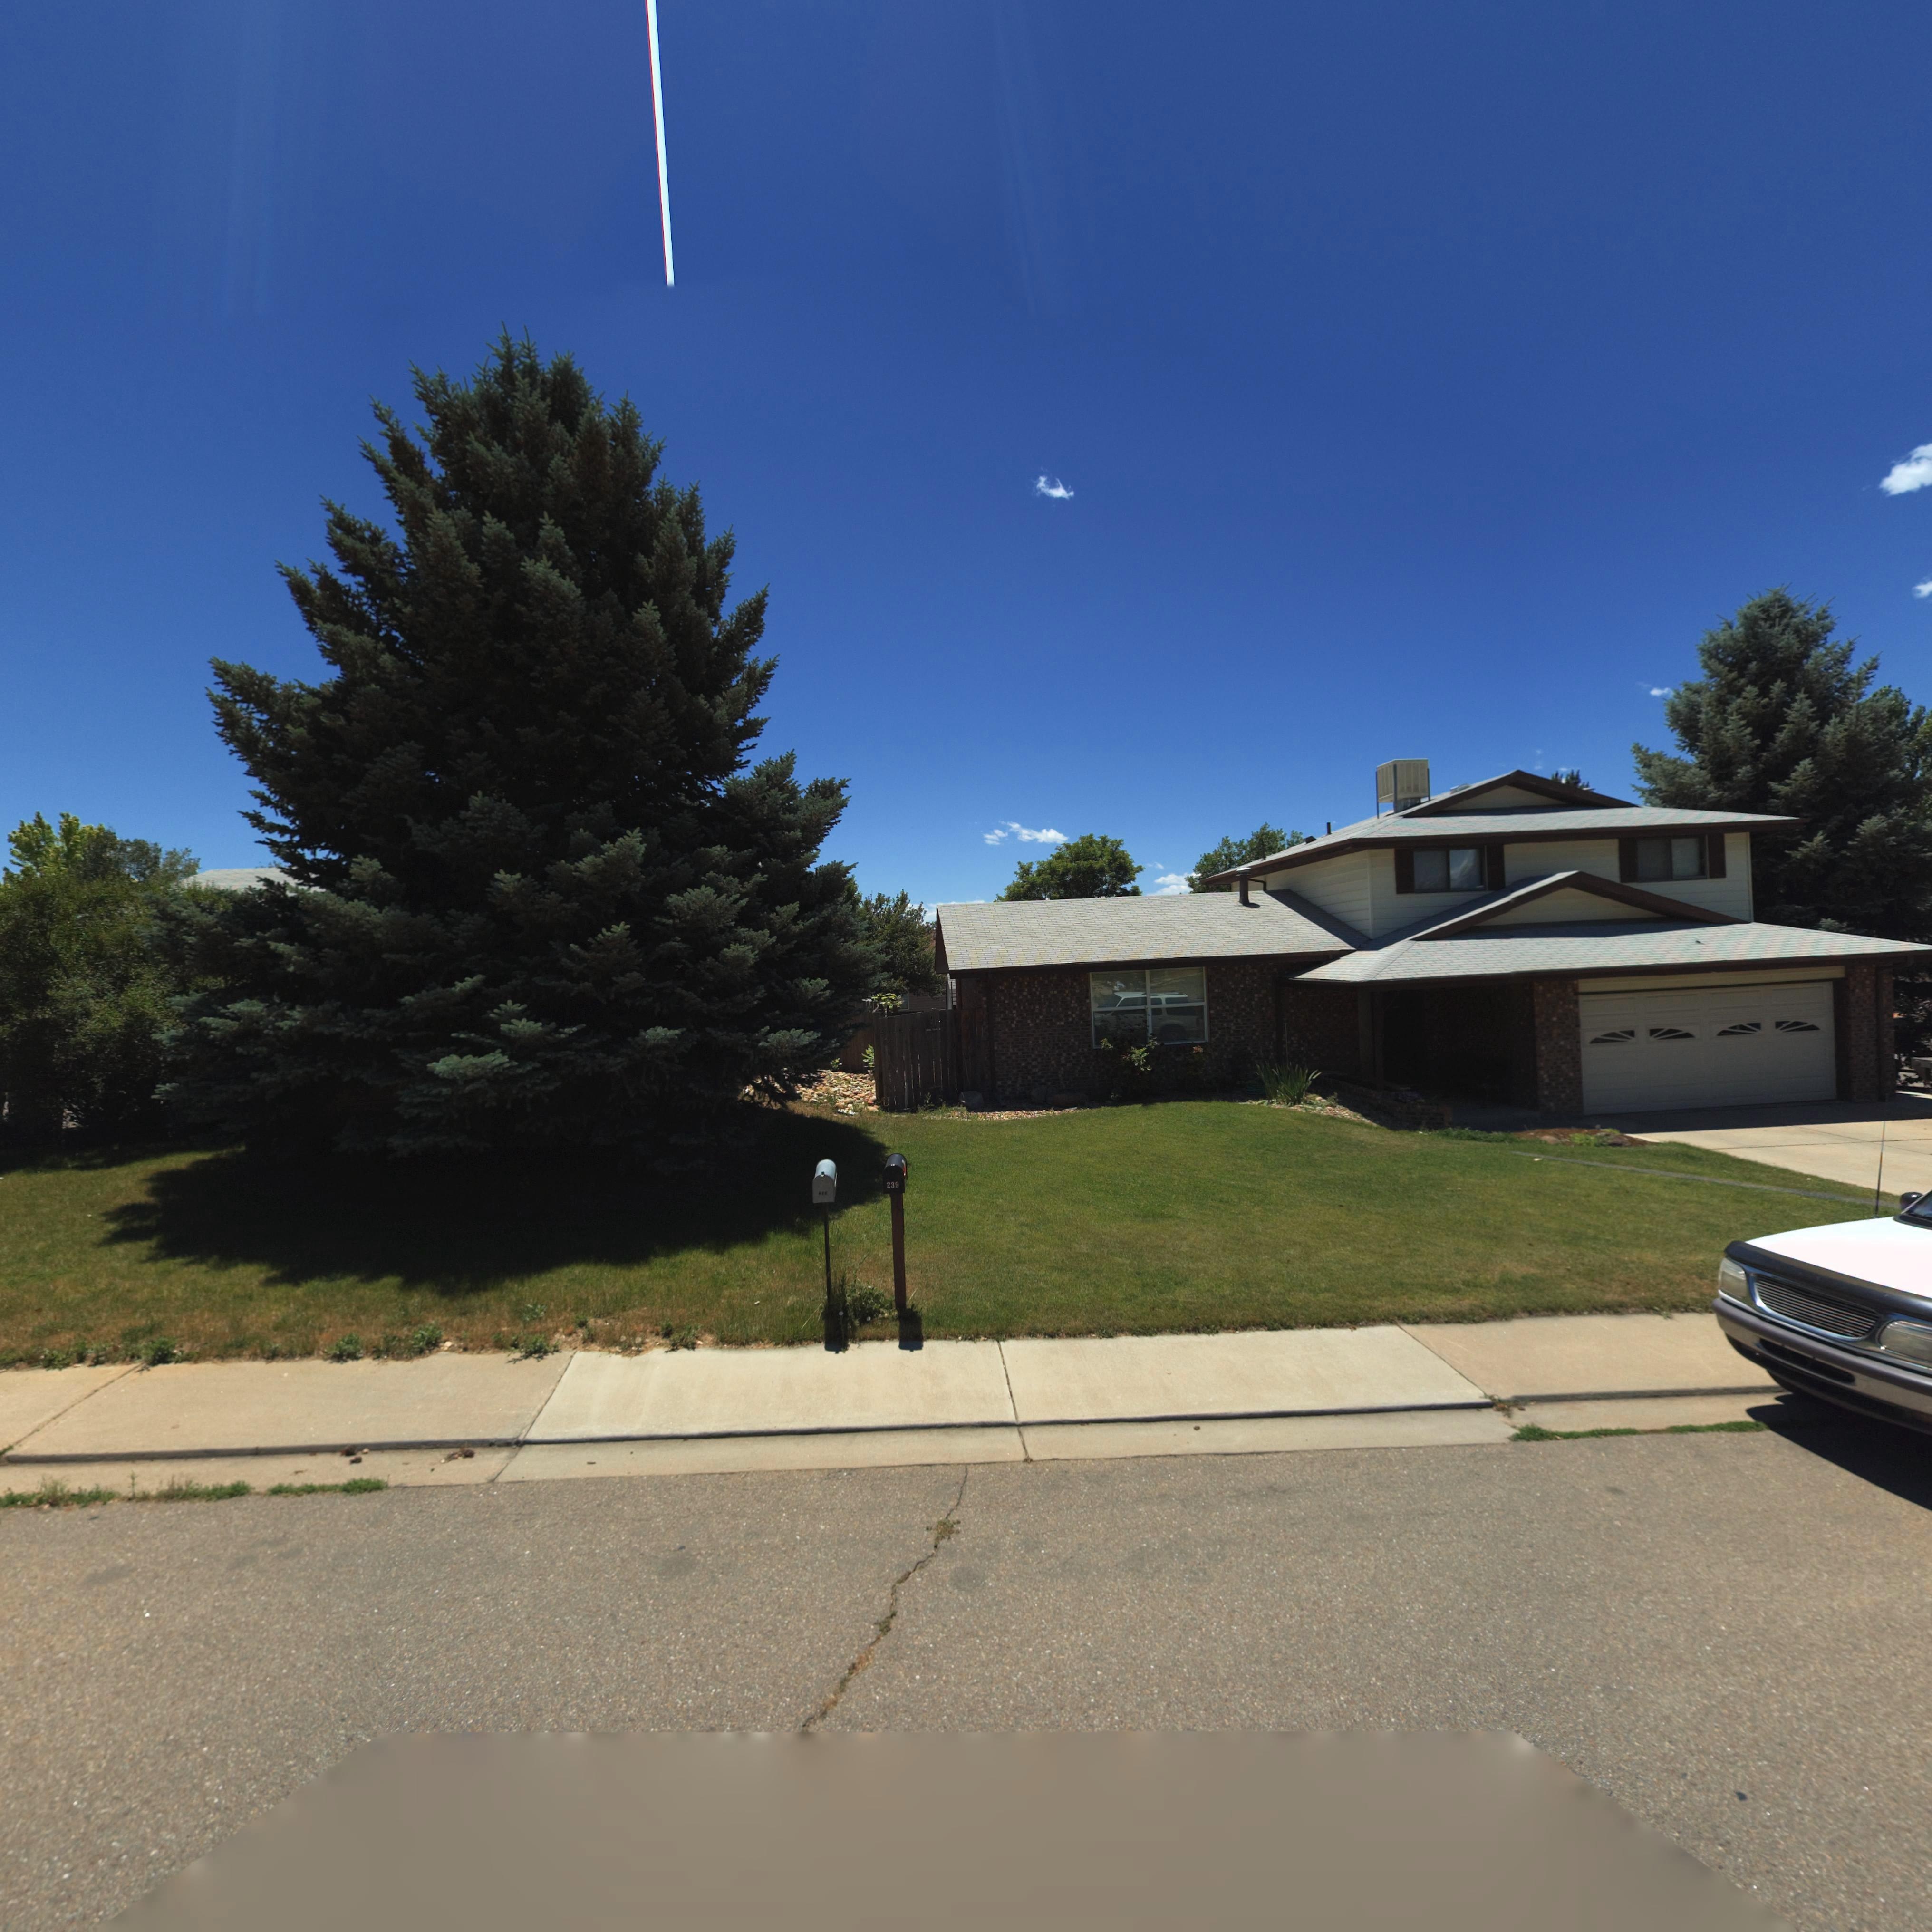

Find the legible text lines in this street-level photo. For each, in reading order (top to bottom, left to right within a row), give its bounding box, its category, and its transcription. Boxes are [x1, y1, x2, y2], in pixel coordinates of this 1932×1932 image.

[886, 1181, 899, 1188] StreetNumber: 23*